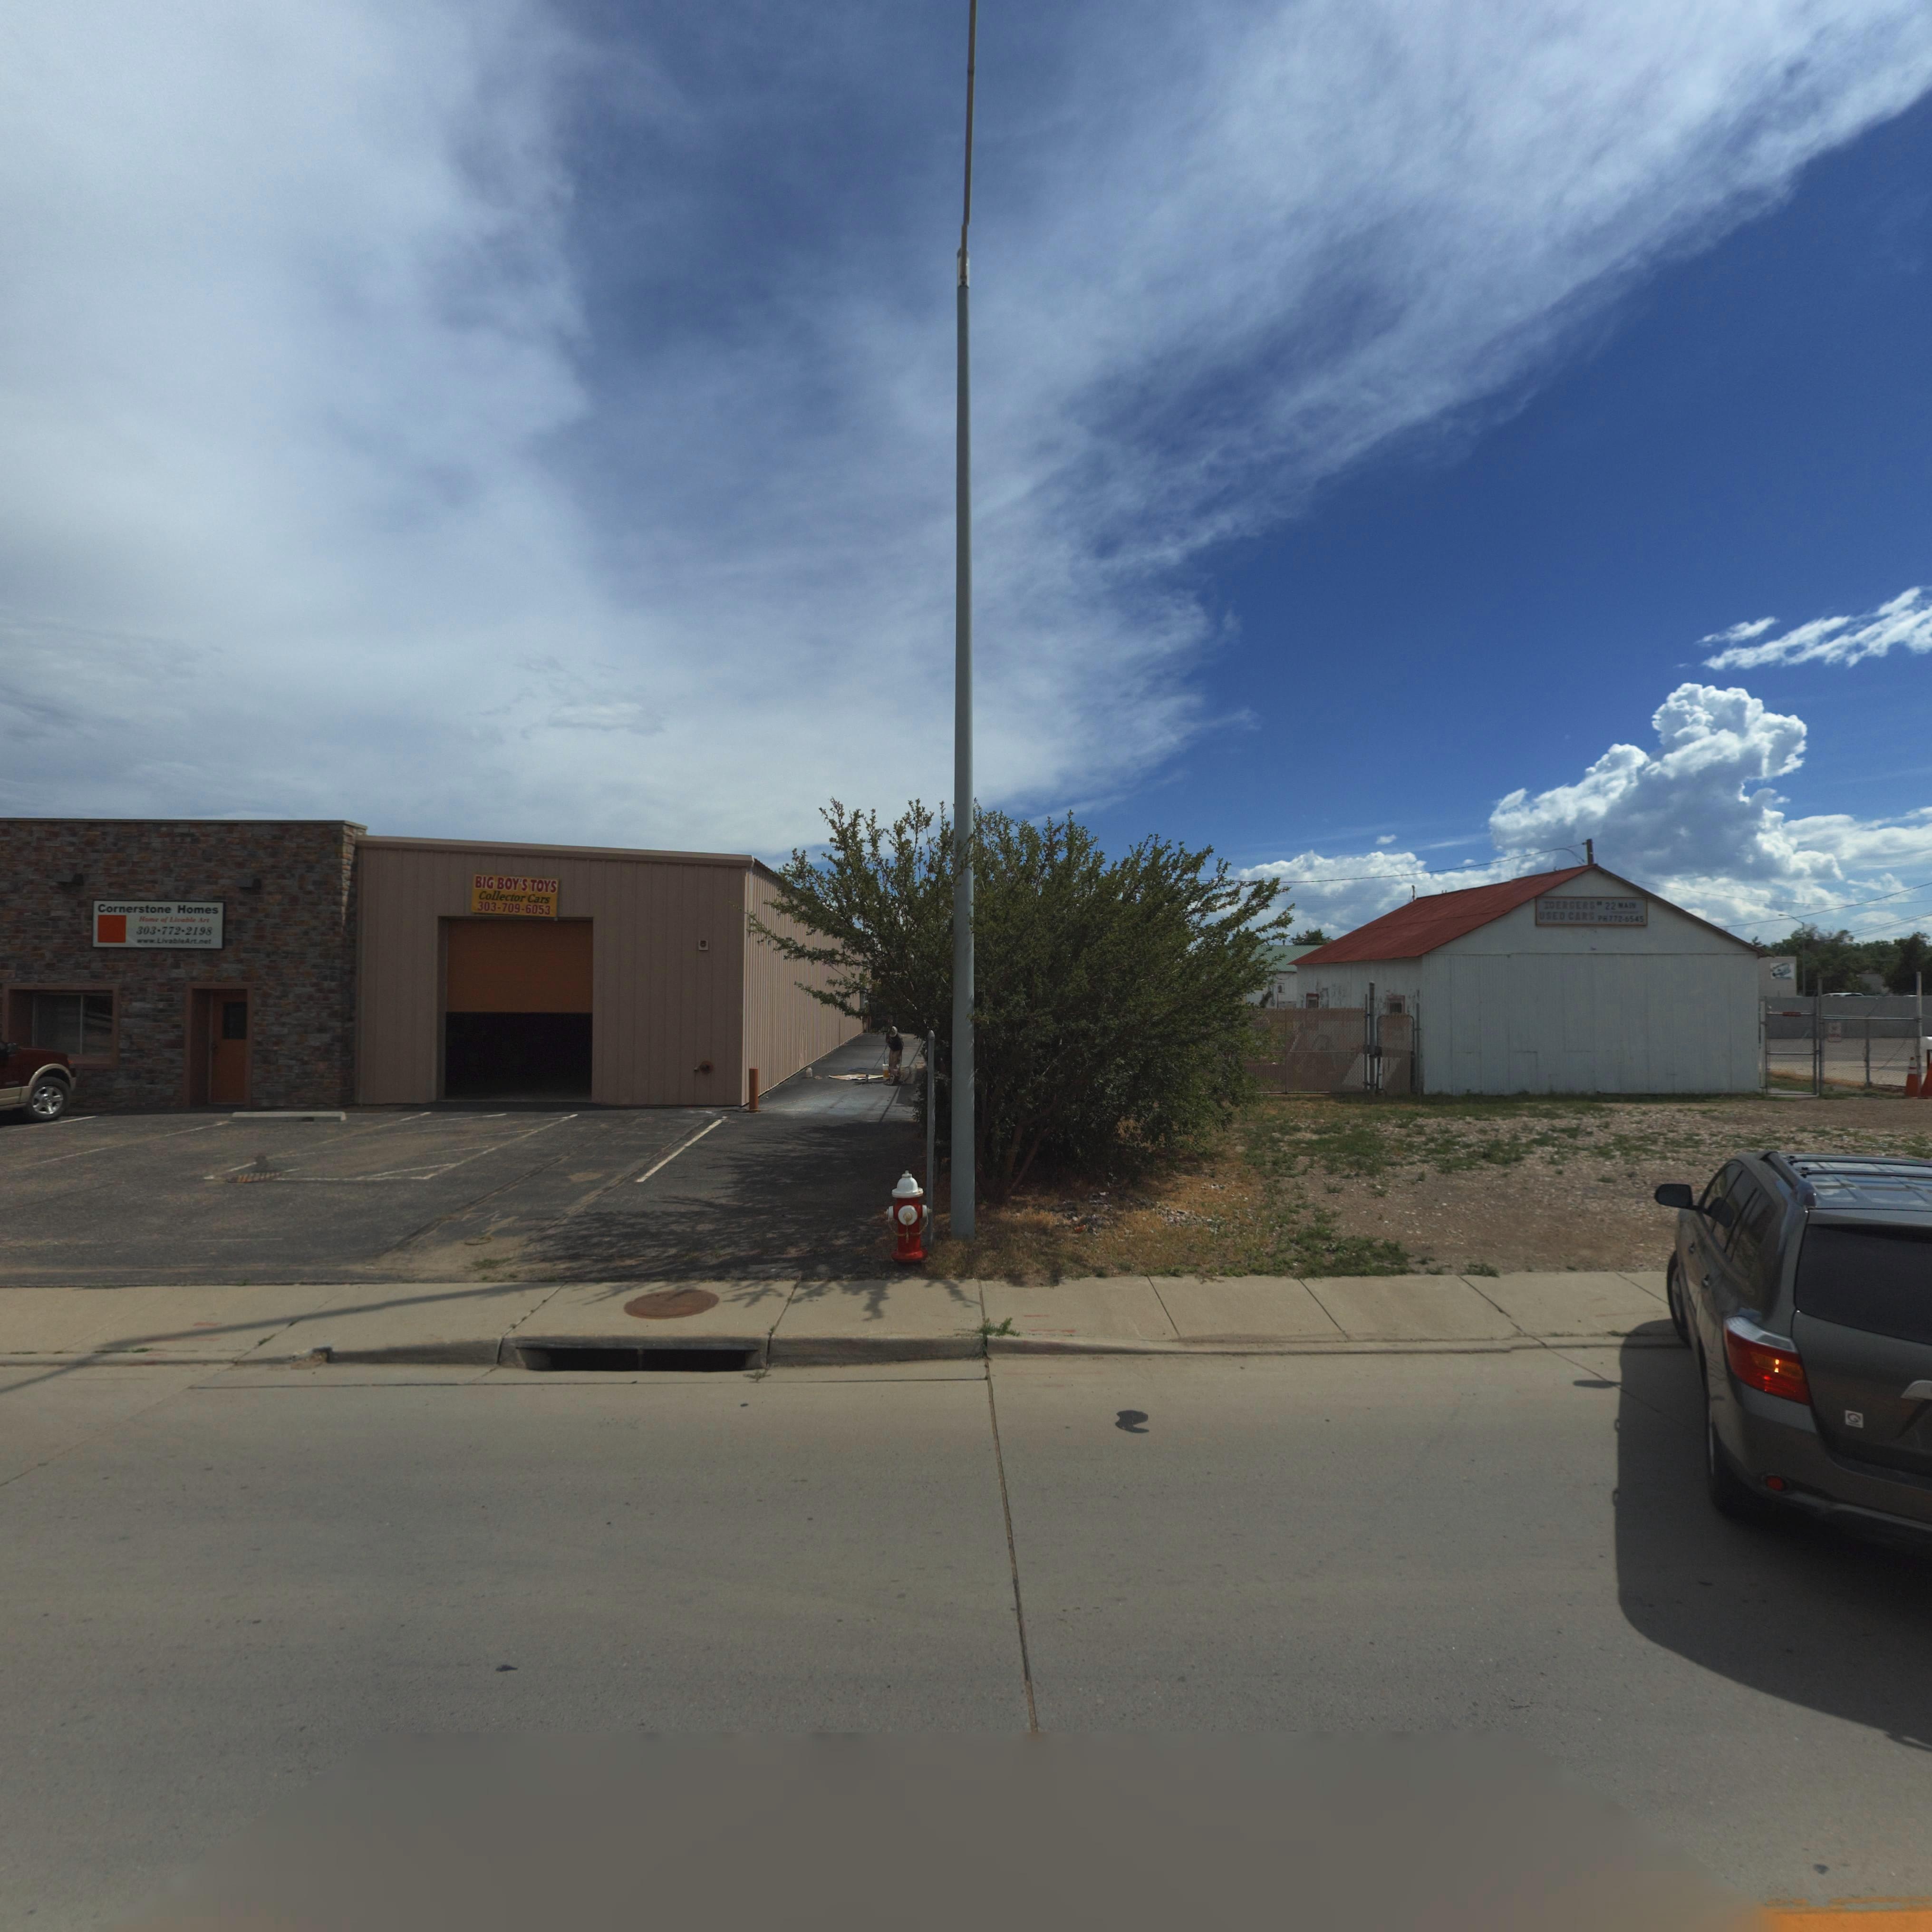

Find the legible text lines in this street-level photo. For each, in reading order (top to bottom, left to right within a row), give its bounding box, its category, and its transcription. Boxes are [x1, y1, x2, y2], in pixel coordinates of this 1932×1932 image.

[474, 875, 557, 893] BusinessName: BIG BOY'S TOYS
[97, 903, 219, 914] BusinessName: Cornerstone Homes
[1543, 900, 1595, 909] BusinessName: IOERGERS
[1605, 901, 1616, 910] StreetNumber: 22
[1618, 902, 1636, 908] StreetName: MAIN
[1538, 911, 1595, 920] BusinessName: USED CARS